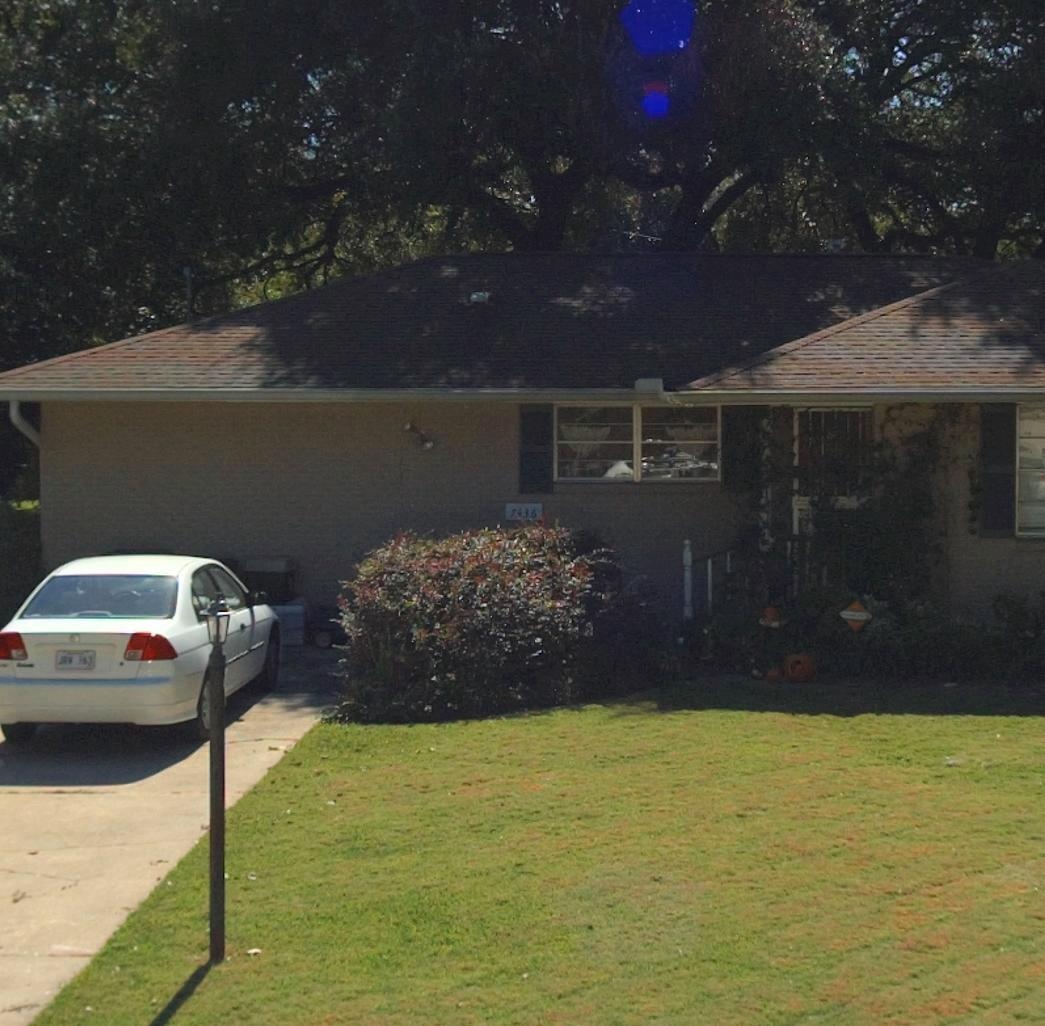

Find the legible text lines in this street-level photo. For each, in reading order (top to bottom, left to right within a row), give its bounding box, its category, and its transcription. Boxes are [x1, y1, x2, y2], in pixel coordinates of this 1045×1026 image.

[508, 506, 539, 521] StreetNumber: 7436